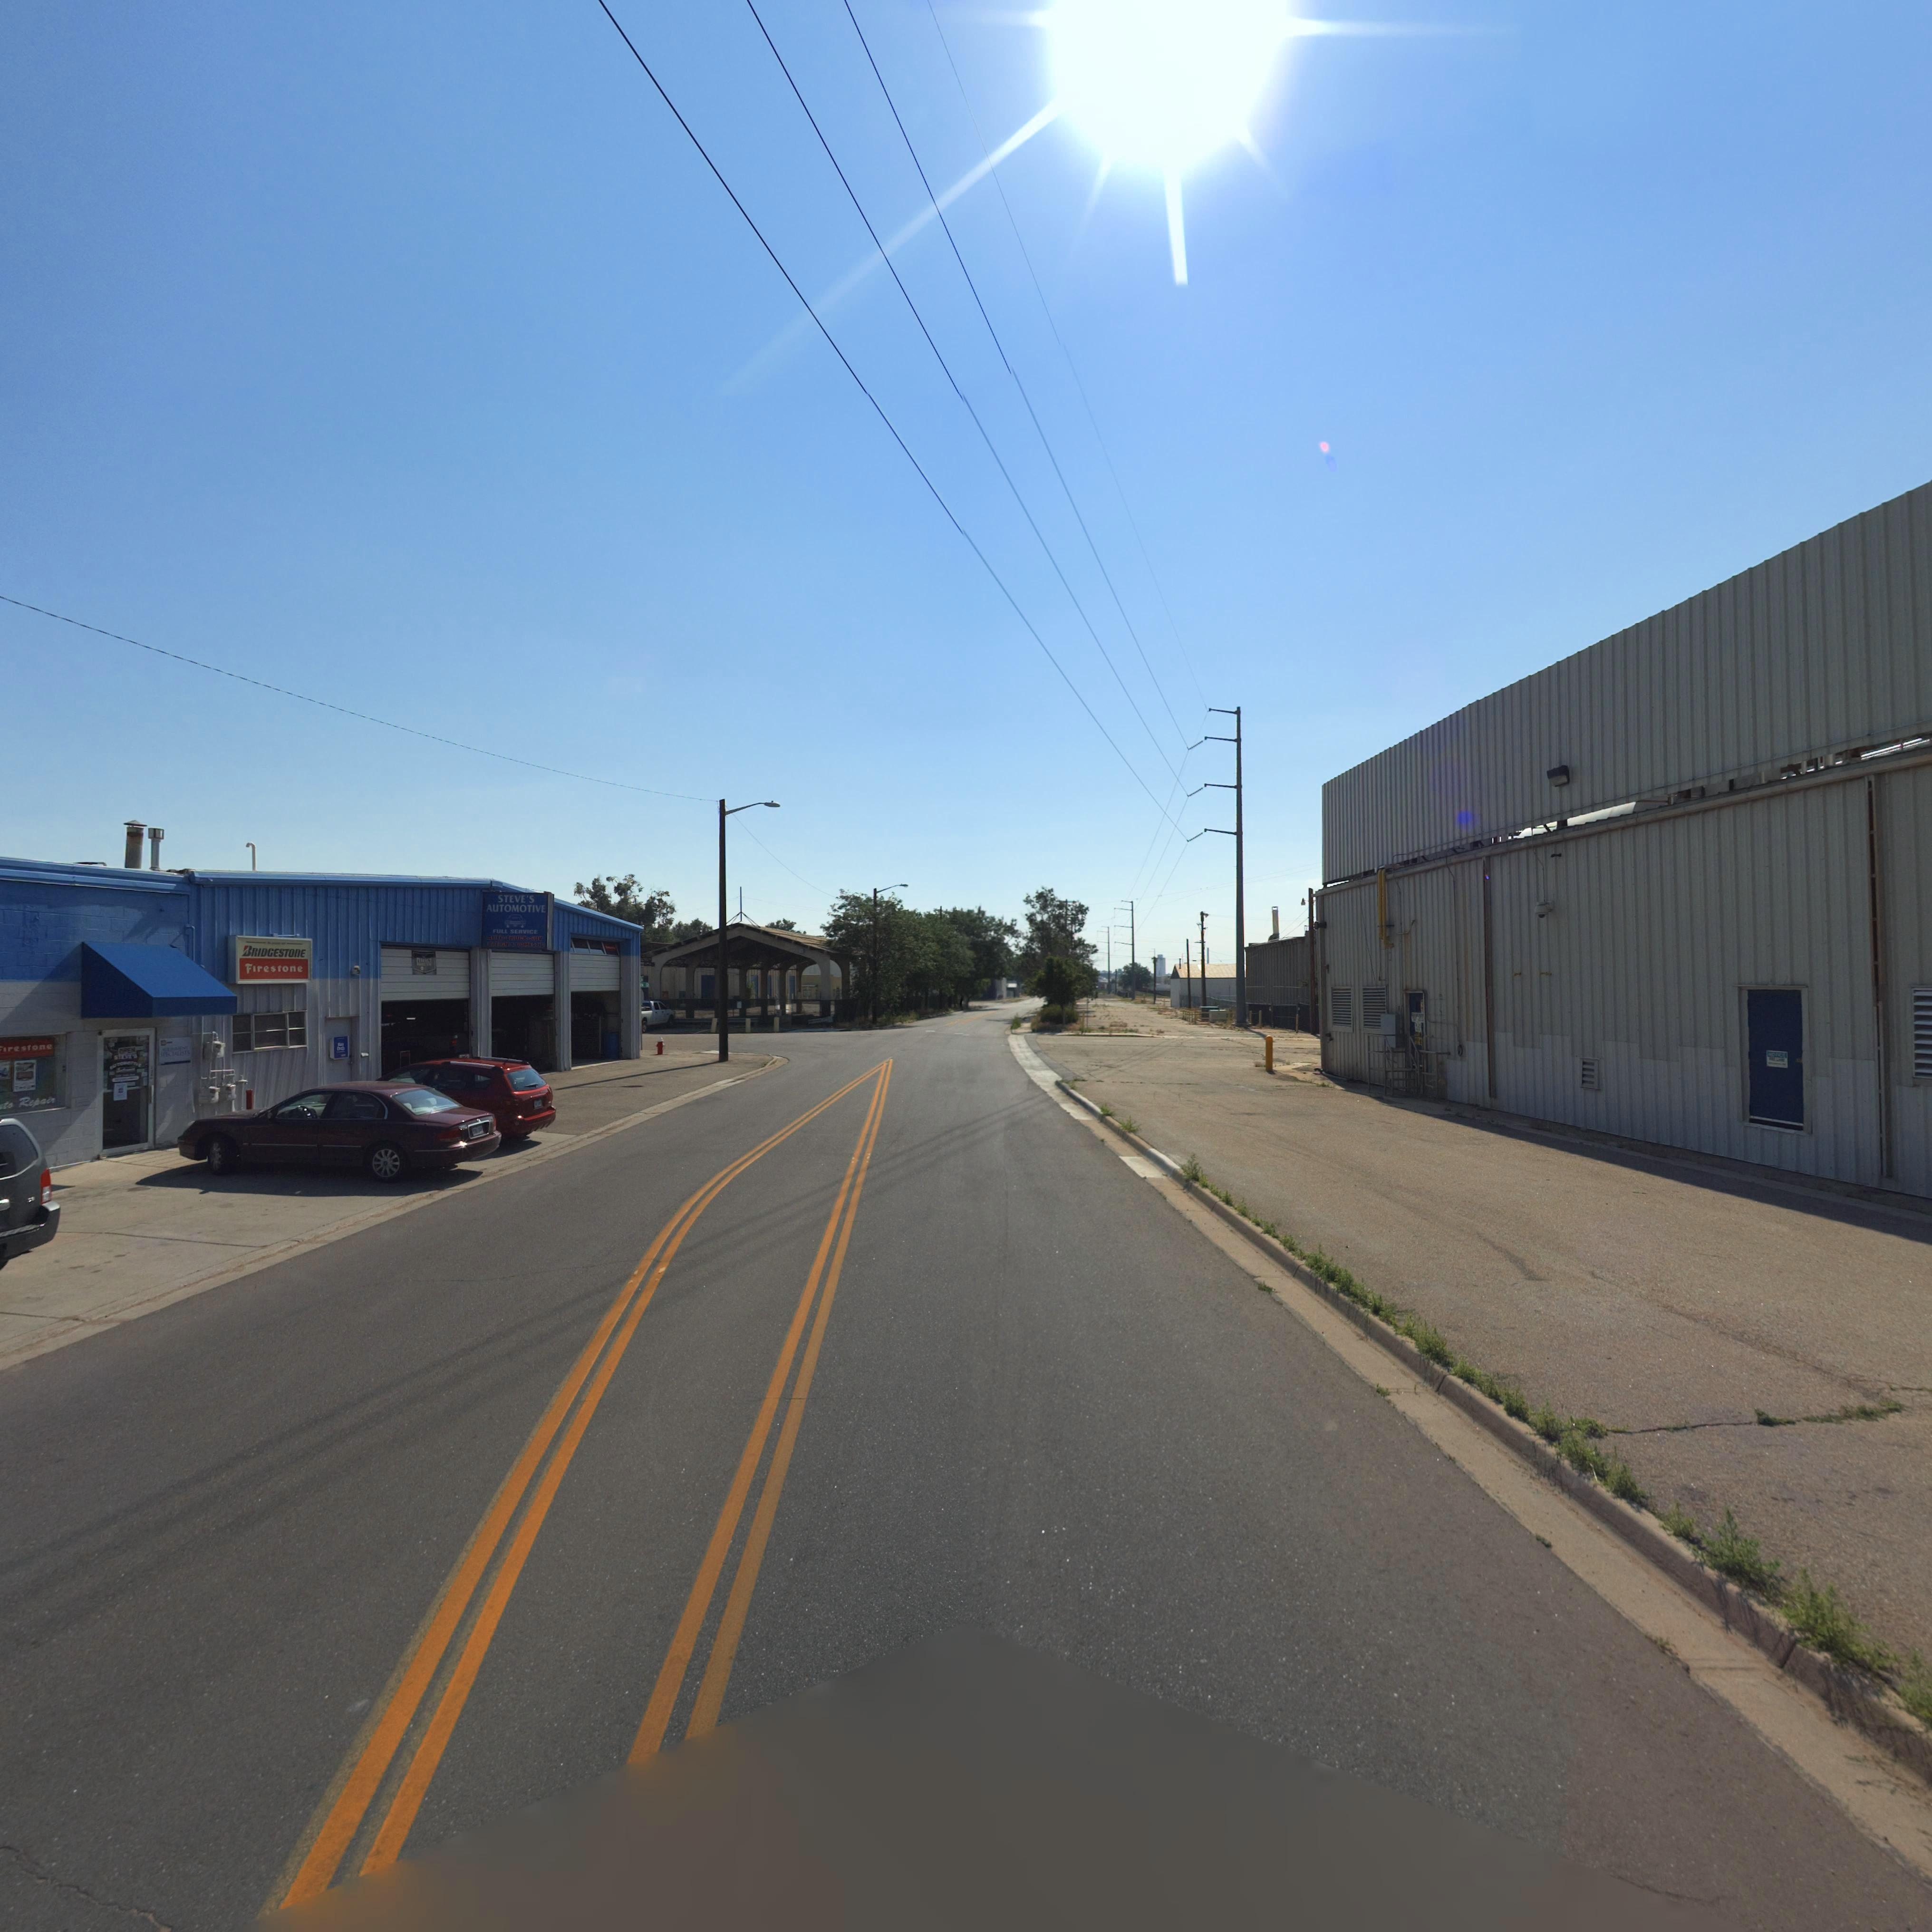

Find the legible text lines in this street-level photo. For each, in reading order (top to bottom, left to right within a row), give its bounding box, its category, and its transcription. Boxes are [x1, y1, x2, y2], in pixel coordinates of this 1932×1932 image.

[497, 894, 534, 903] BusinessName: STEVE'S
[486, 903, 546, 913] BusinessName: AUTOMOTIVE
[114, 1054, 137, 1060] BusinessName: STEVE'S
[109, 1061, 142, 1070] BusinessName: AUTOMOTIVE